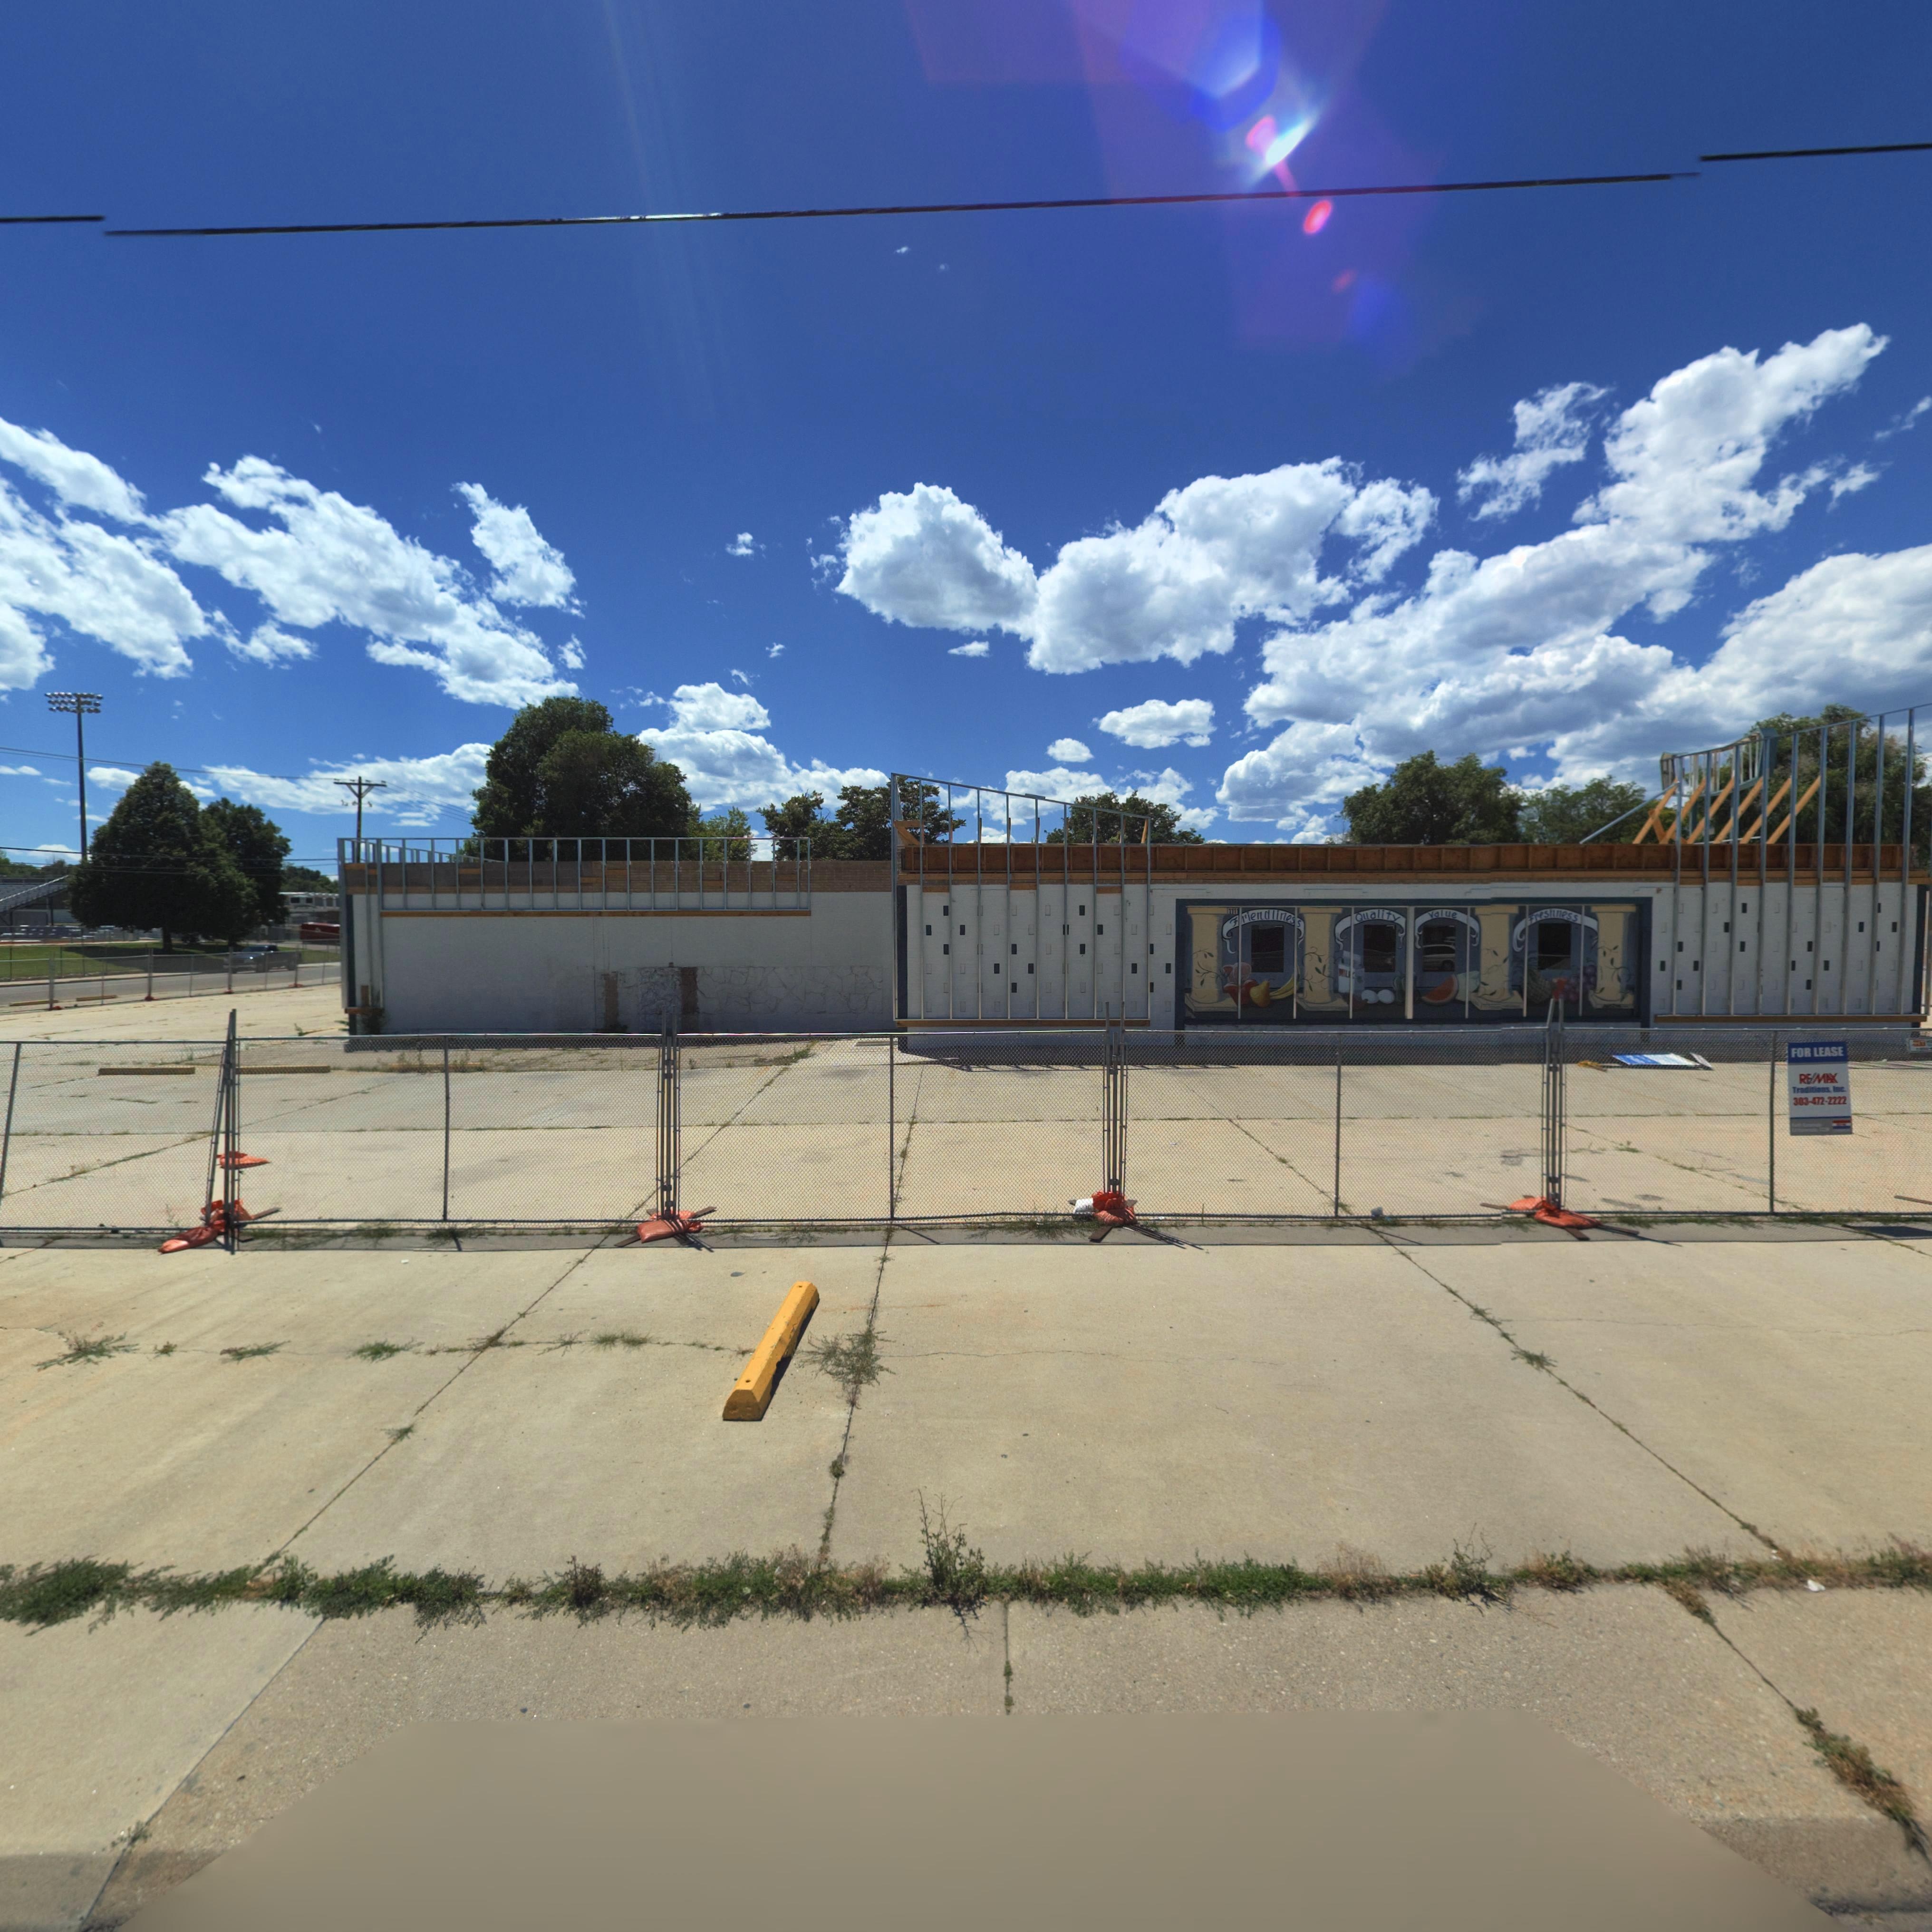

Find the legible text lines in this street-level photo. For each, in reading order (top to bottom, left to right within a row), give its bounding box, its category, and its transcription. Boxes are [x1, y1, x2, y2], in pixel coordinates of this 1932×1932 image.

[1791, 1085, 1847, 1094] None: x*